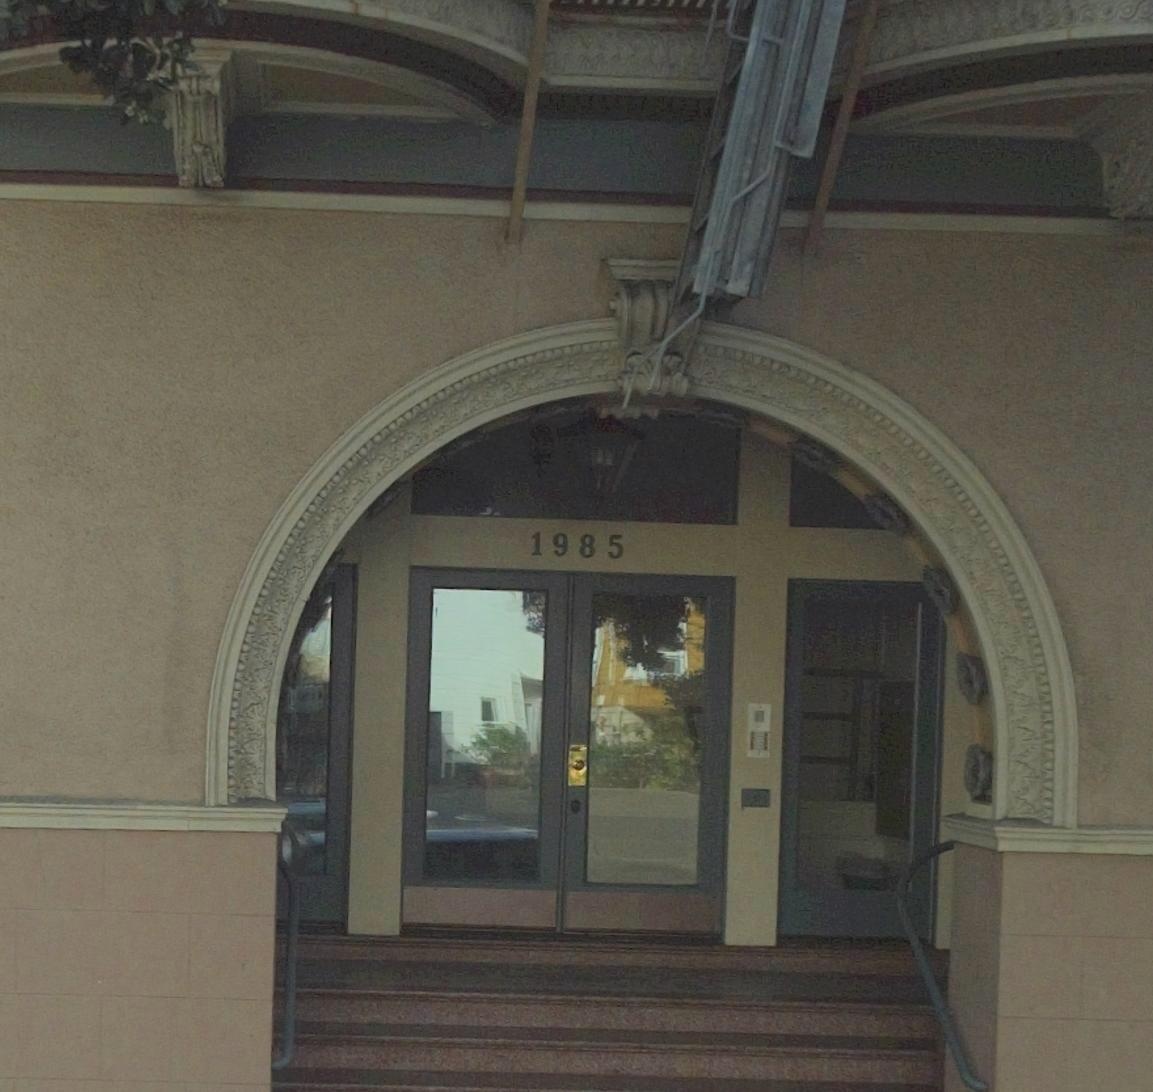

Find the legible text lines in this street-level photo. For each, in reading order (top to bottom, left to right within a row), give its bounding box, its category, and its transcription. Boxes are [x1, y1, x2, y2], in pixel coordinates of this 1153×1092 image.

[528, 529, 626, 562] StreetNumber: 1985